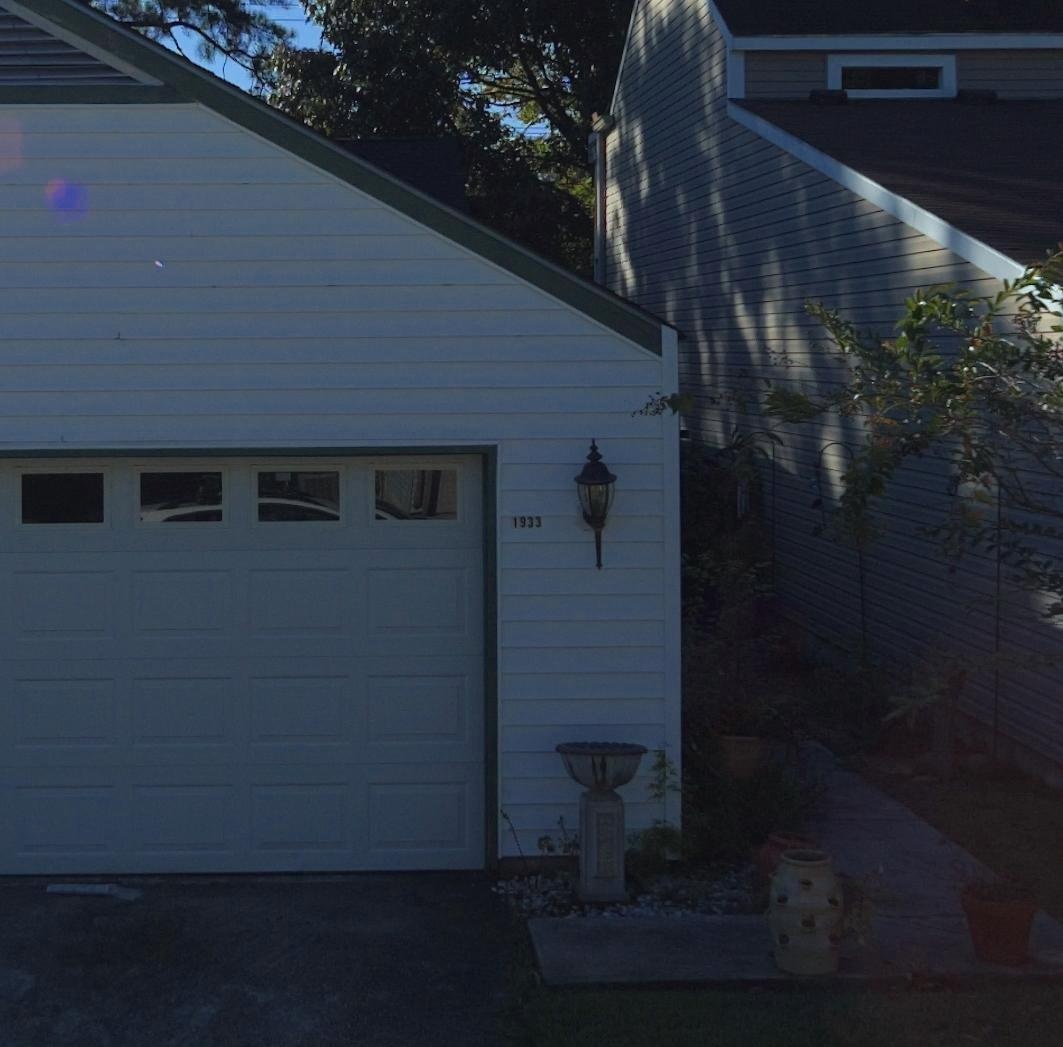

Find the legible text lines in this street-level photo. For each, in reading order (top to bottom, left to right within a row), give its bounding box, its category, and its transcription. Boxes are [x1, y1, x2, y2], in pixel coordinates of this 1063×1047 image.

[512, 514, 543, 530] StreetNumber: 1933